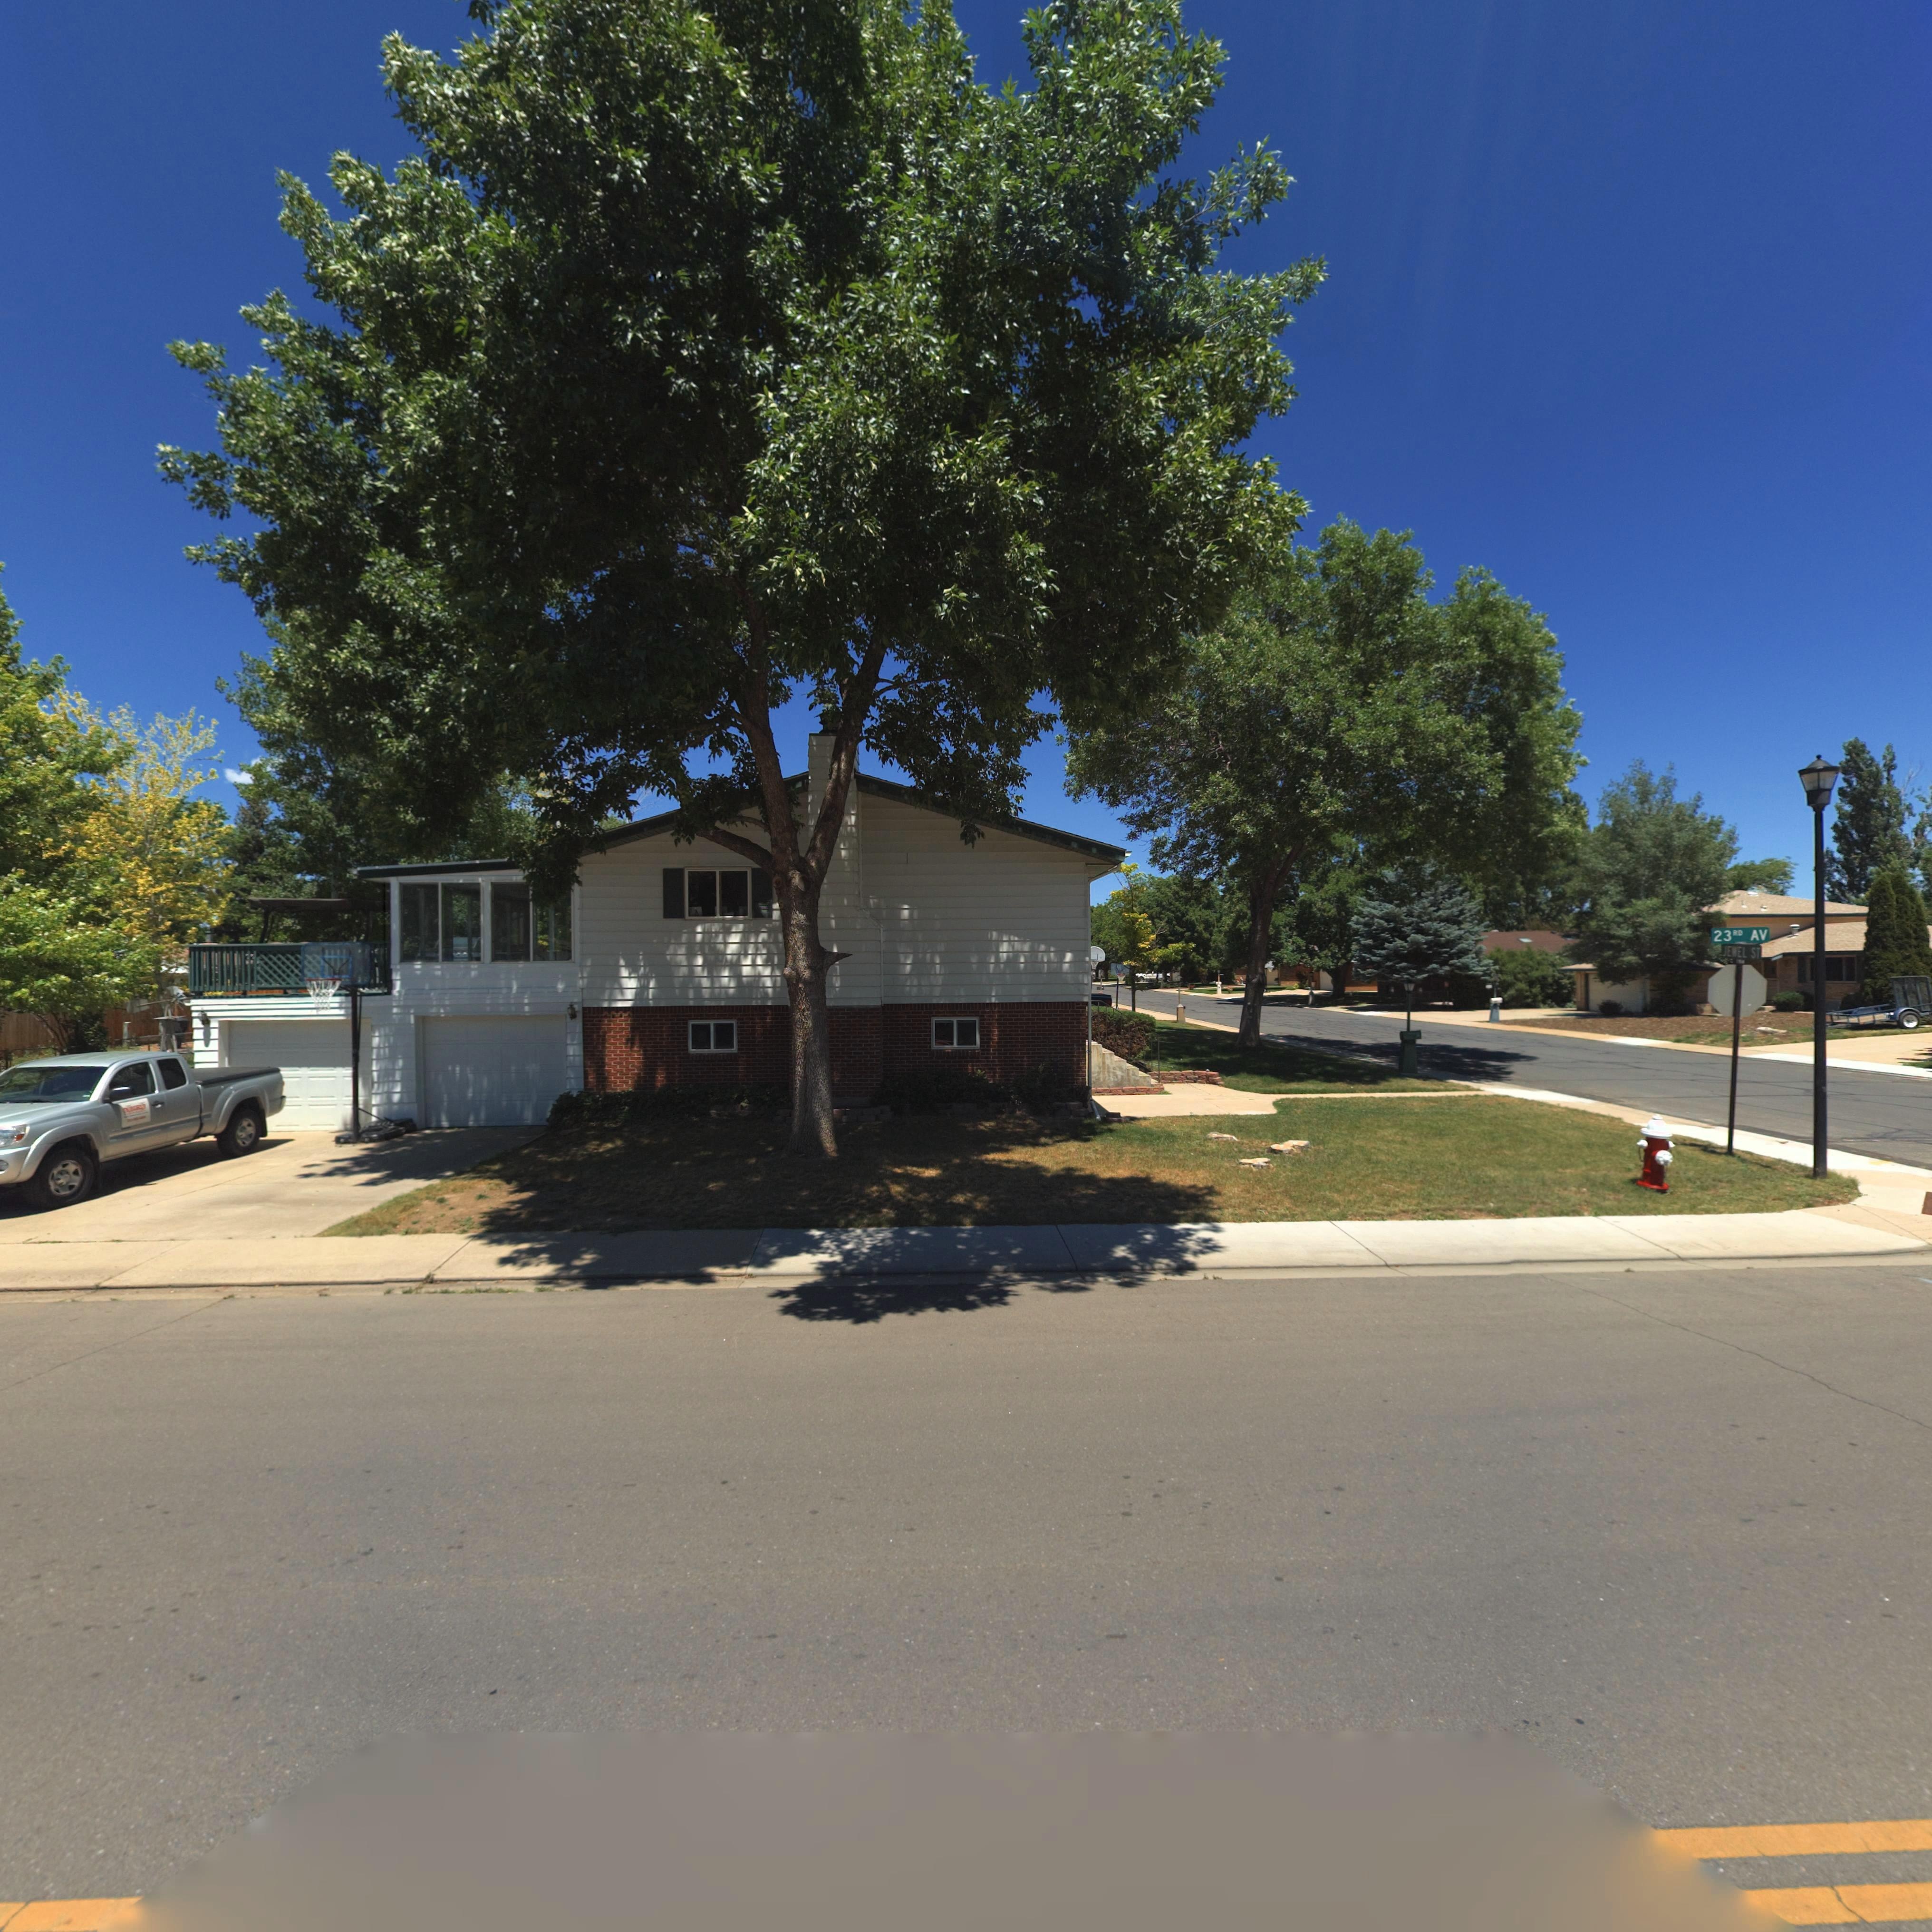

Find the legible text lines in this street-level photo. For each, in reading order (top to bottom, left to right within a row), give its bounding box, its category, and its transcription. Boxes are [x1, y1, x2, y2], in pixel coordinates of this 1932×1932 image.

[1712, 928, 1769, 943] StreetName: 23RD AV
[1721, 945, 1761, 959] StreetName: JEWEL ST